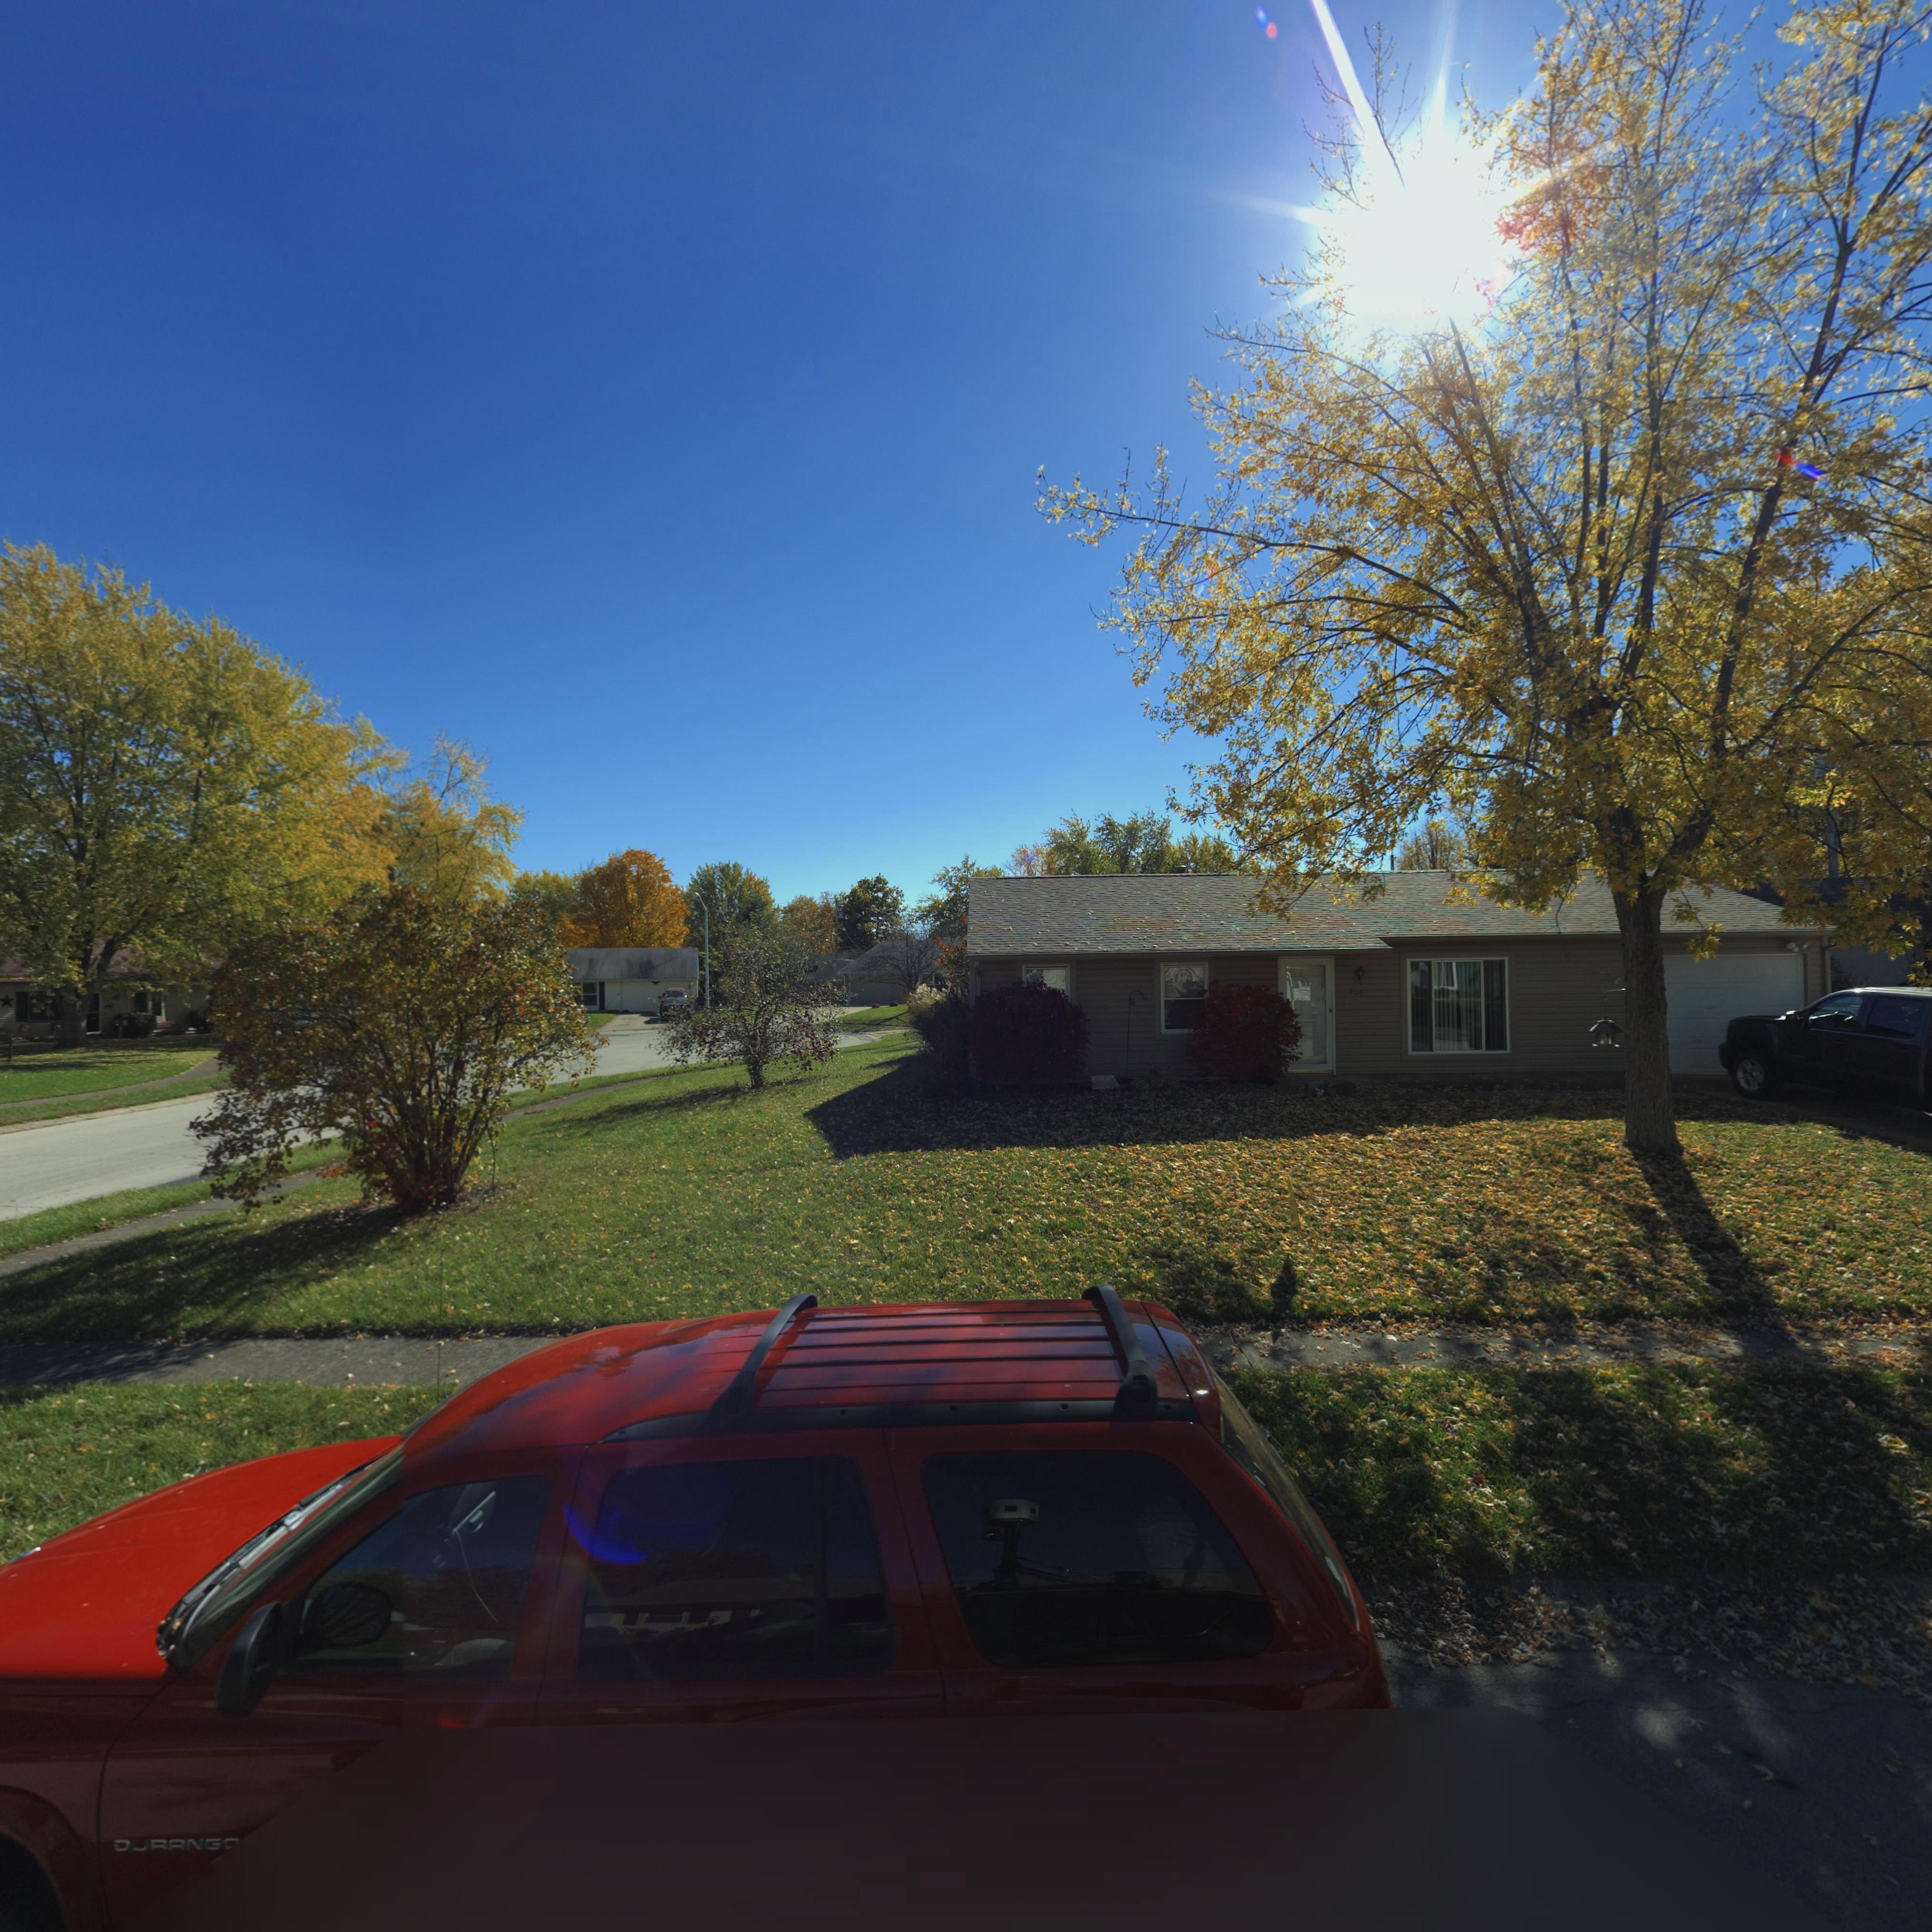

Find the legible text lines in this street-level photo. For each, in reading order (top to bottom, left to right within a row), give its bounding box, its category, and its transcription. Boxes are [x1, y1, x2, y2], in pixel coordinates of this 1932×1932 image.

[1348, 987, 1364, 996] StreetNumber: 50*